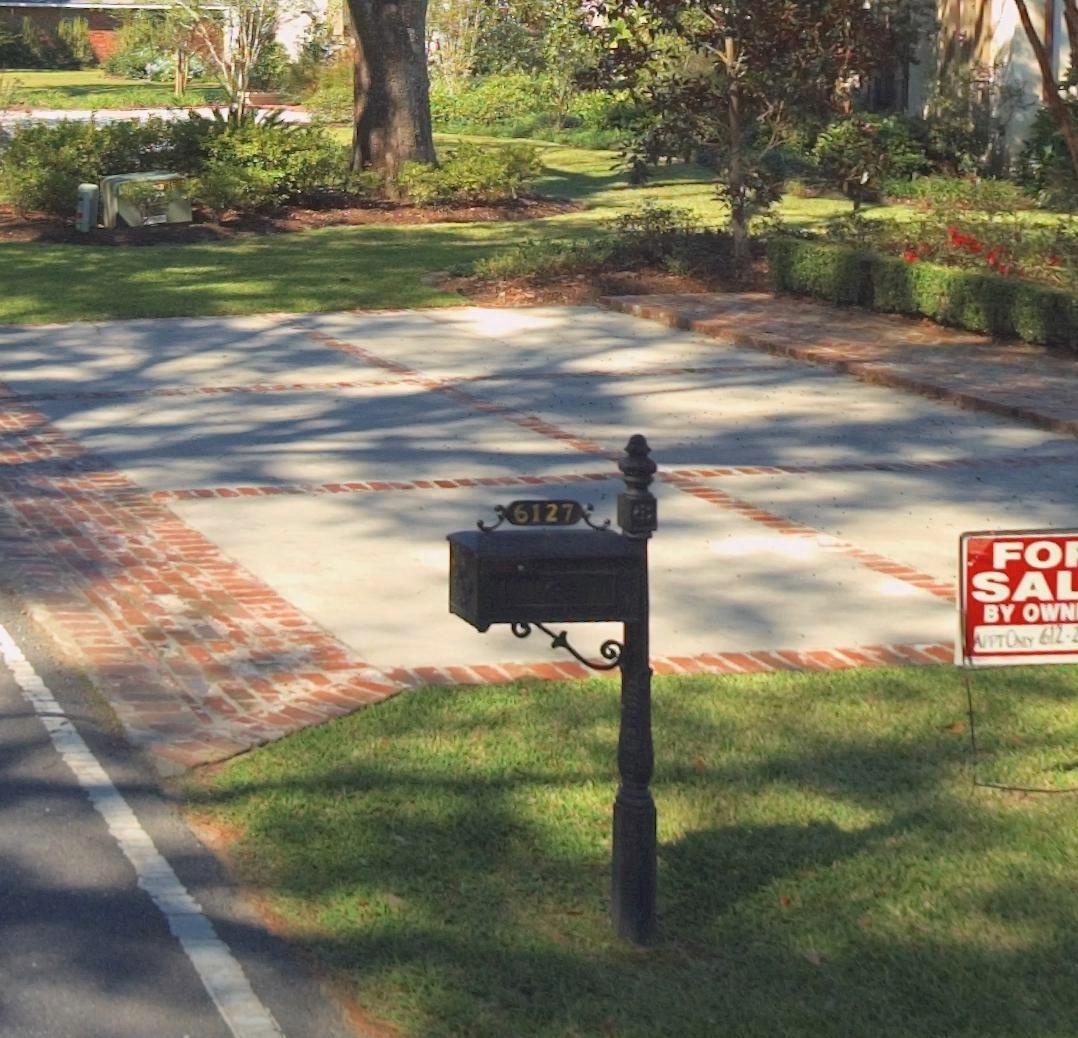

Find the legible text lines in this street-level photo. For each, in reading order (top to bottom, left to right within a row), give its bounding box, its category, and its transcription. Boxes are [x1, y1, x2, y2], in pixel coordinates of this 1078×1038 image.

[510, 500, 578, 526] StreetNumber: 6127
[984, 533, 1067, 573] None: FO
[968, 568, 1059, 606] None: SA
[978, 601, 1078, 625] None: BY OWN
[969, 627, 1037, 652] None: APPT ONLY
[1037, 624, 1067, 648] None: 612